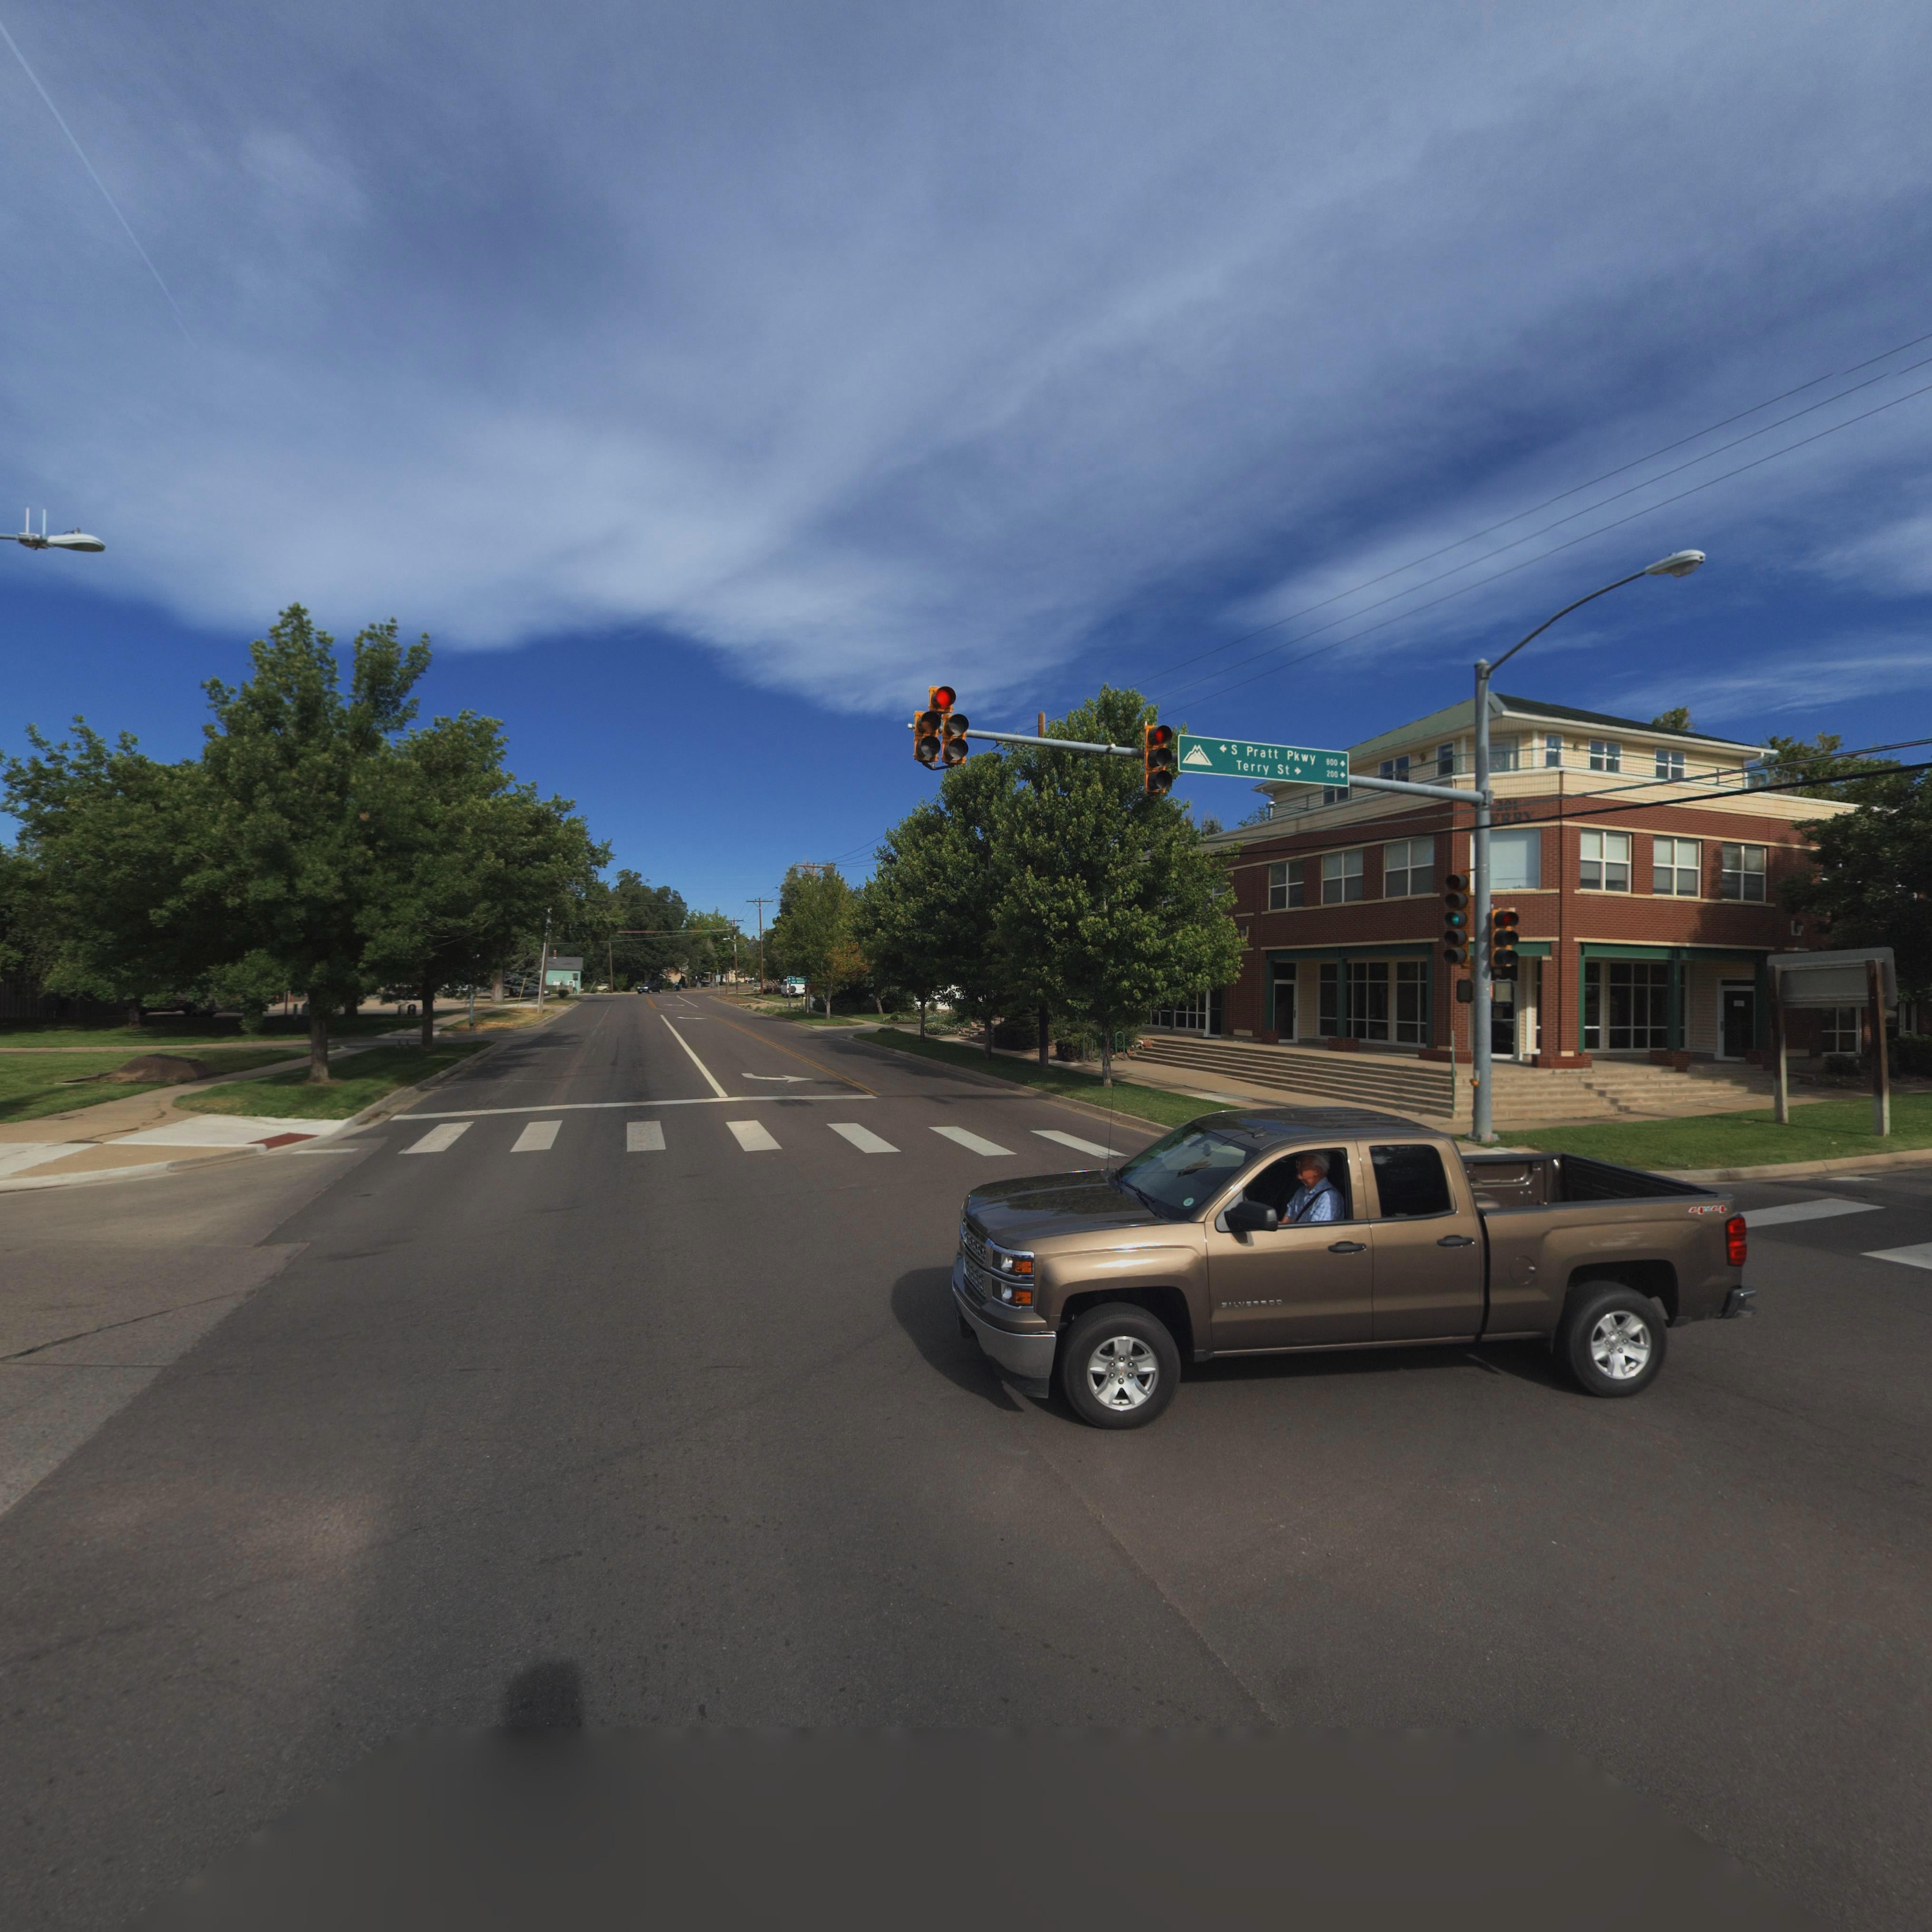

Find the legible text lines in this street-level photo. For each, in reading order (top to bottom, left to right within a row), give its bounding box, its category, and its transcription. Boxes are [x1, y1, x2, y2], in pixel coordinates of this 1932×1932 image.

[1235, 759, 1290, 775] StreetName: Terry St
[1230, 744, 1317, 766] StreetName: S Pratt Pkwy
[1325, 757, 1339, 766] StreetNumberRange: 800
[1326, 770, 1346, 779] StreetNumberRange: 200->
[1495, 799, 1519, 811] StreetNumber: 201
[1489, 810, 1534, 825] StreetName: ERRY